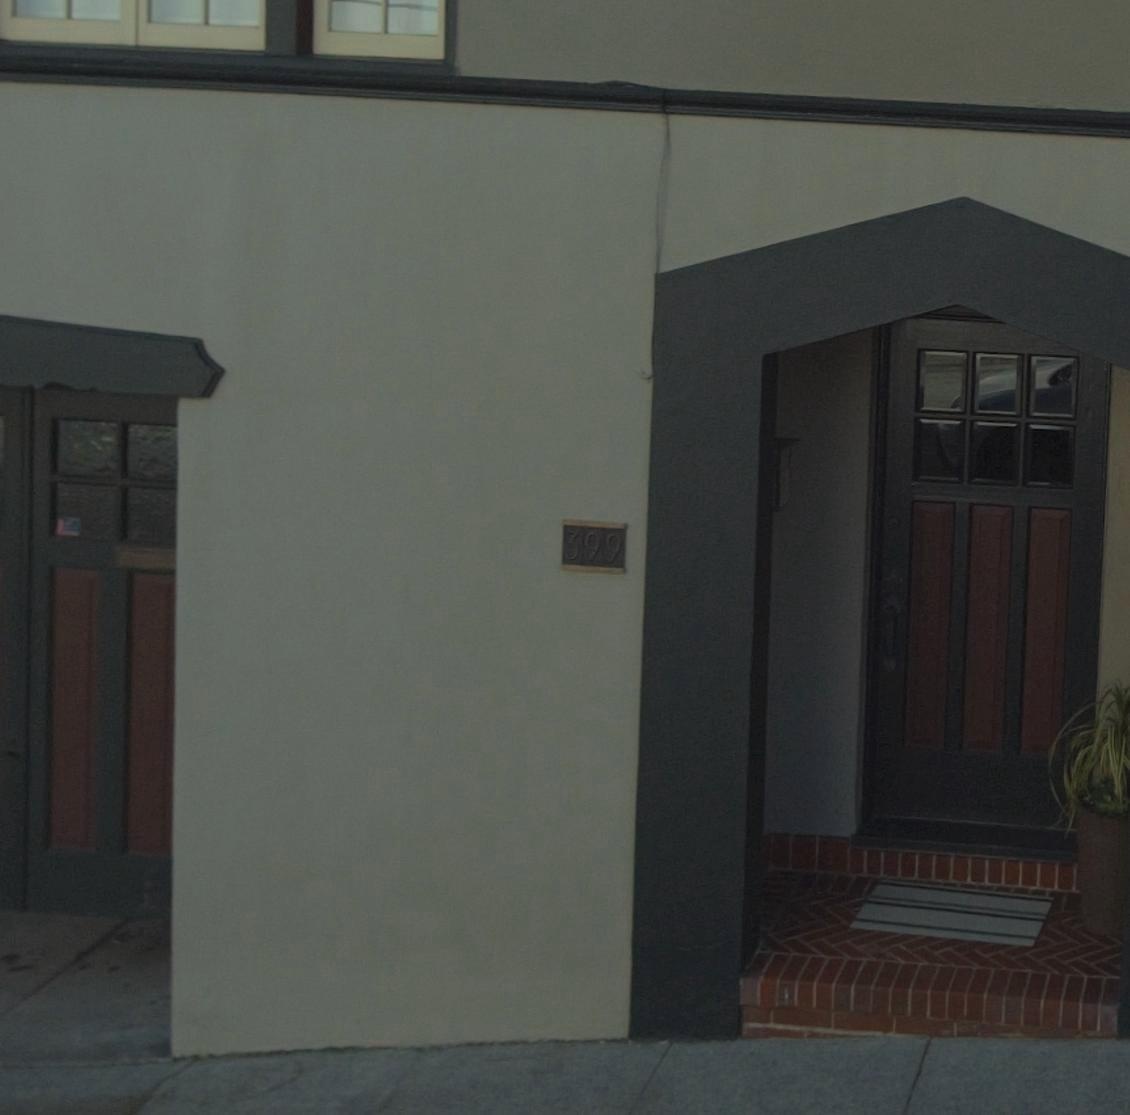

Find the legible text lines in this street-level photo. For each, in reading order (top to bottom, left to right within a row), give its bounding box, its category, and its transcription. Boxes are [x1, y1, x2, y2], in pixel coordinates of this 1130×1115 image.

[563, 526, 624, 566] StreetNumber: 399